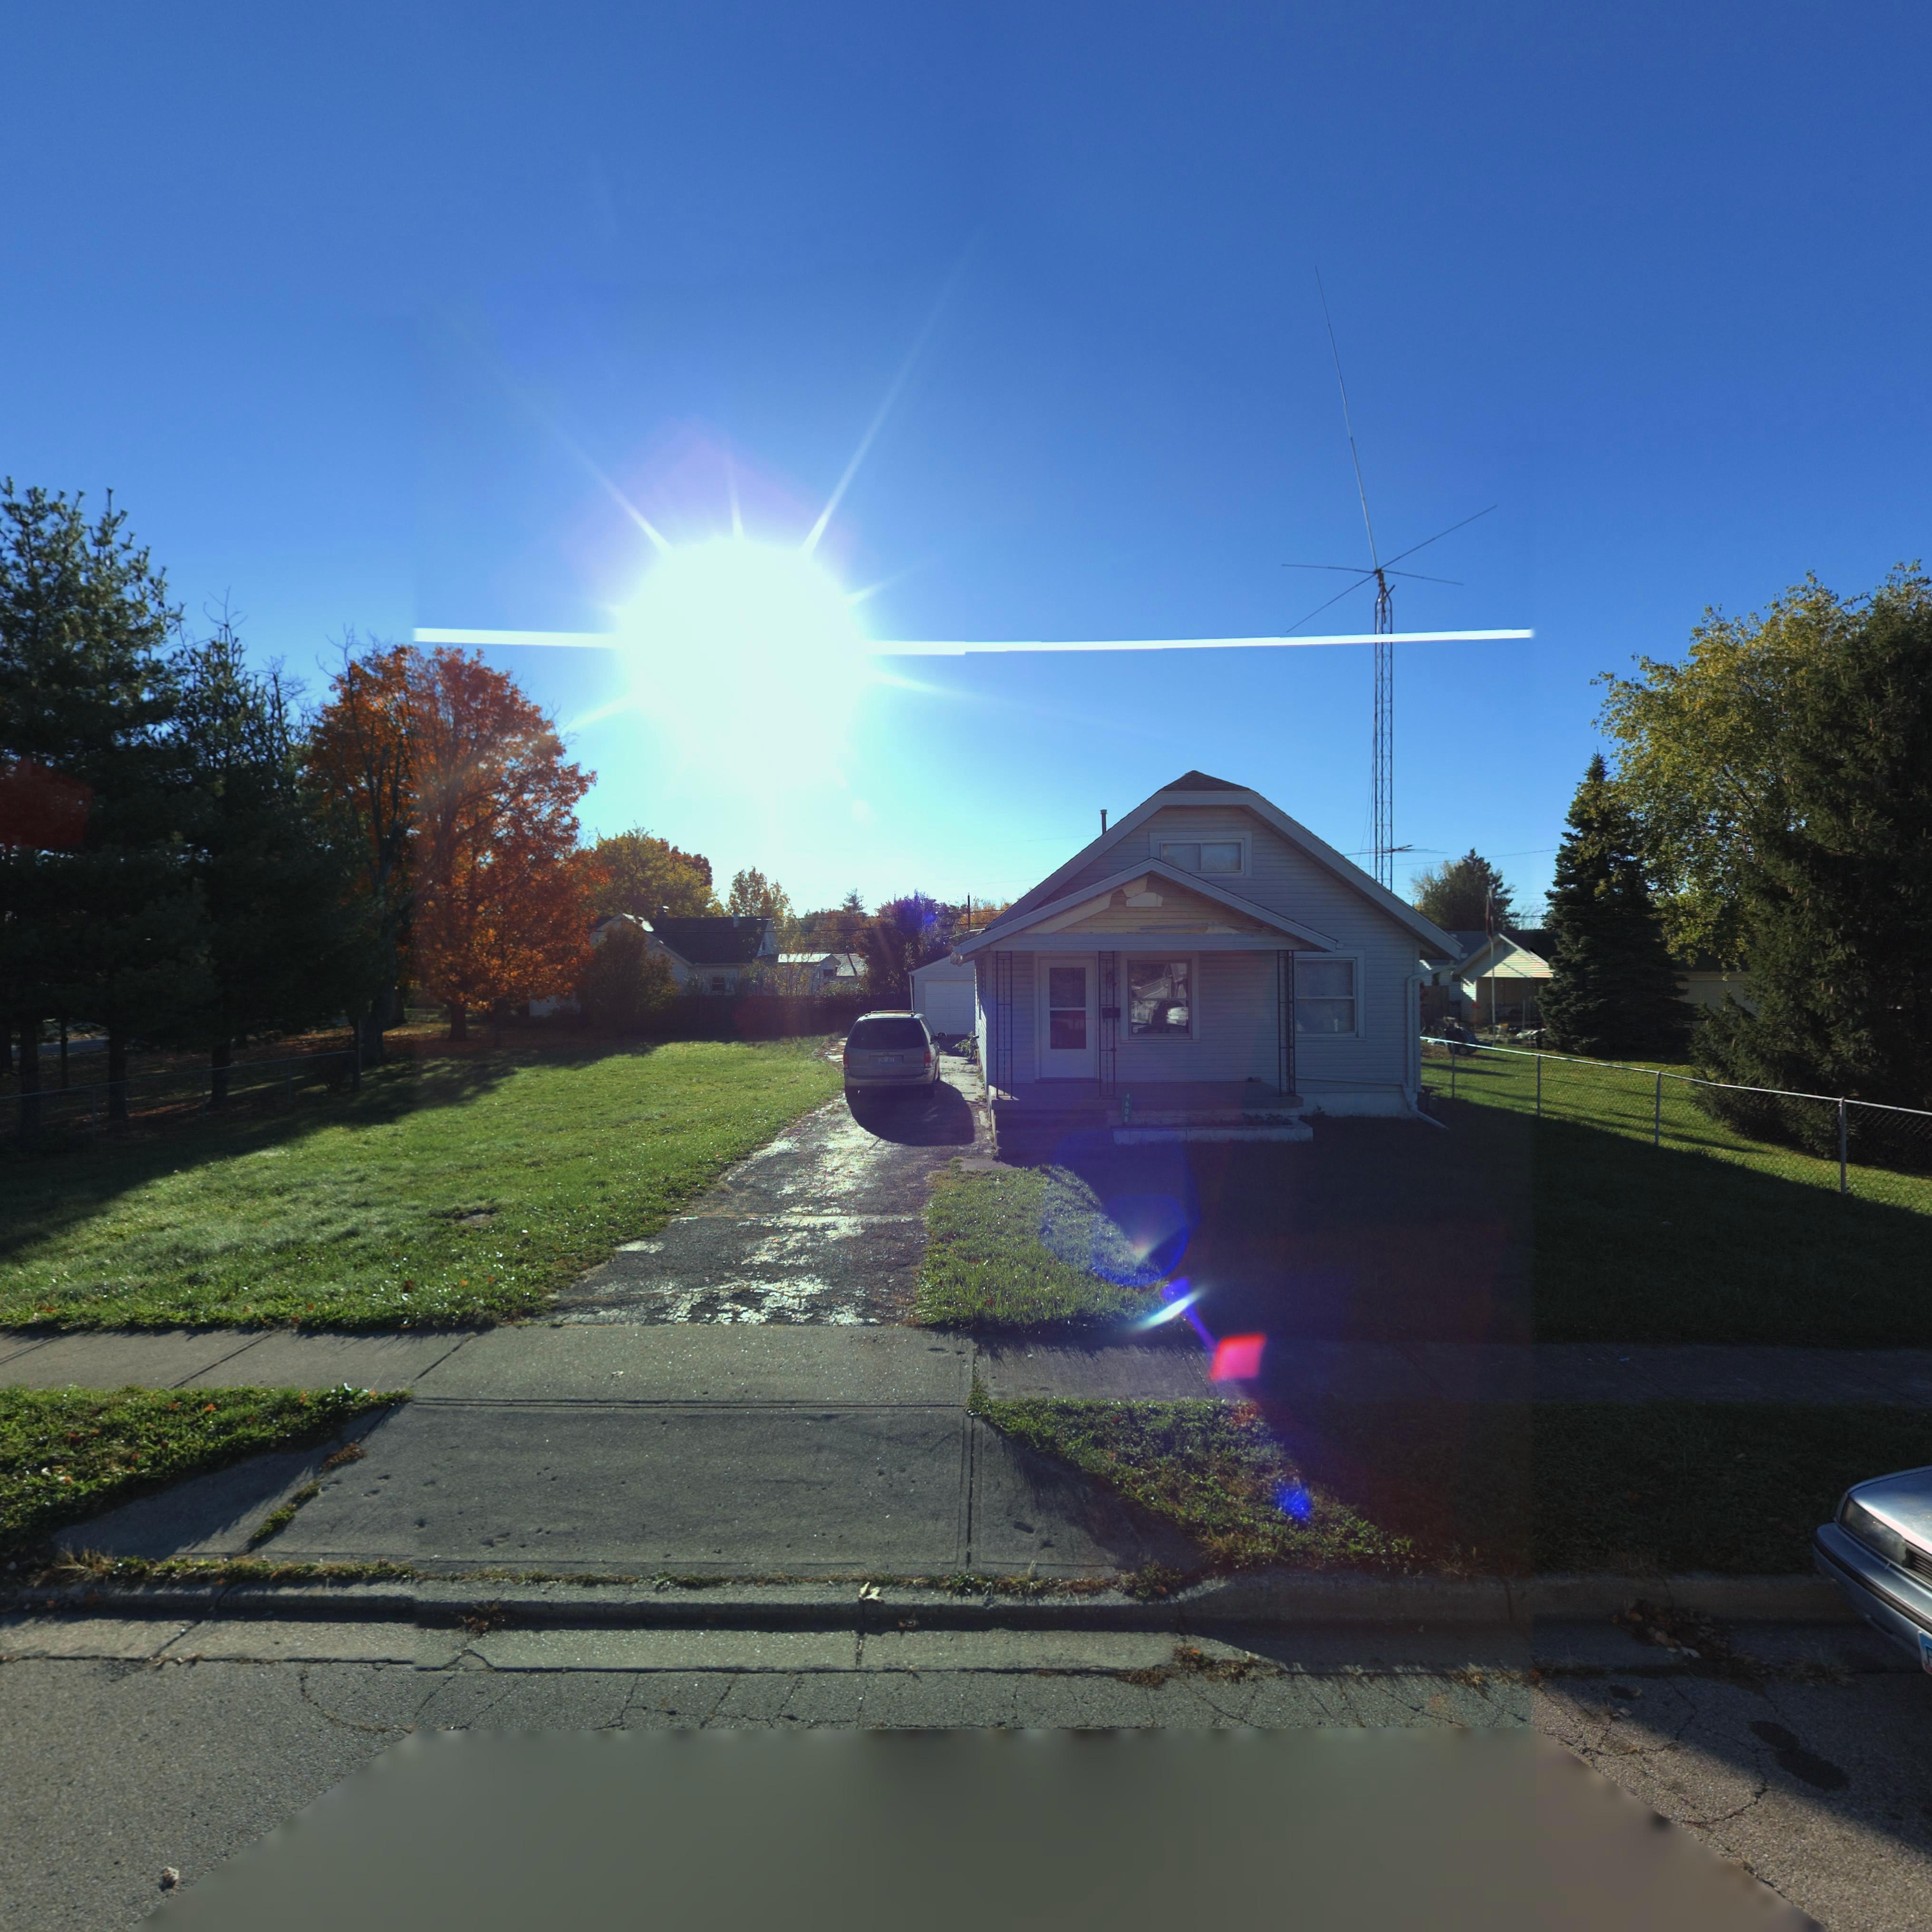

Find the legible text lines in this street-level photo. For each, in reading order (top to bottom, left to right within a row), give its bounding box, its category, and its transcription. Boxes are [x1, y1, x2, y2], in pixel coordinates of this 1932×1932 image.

[1123, 1092, 1131, 1123] StreetNumber: 4608